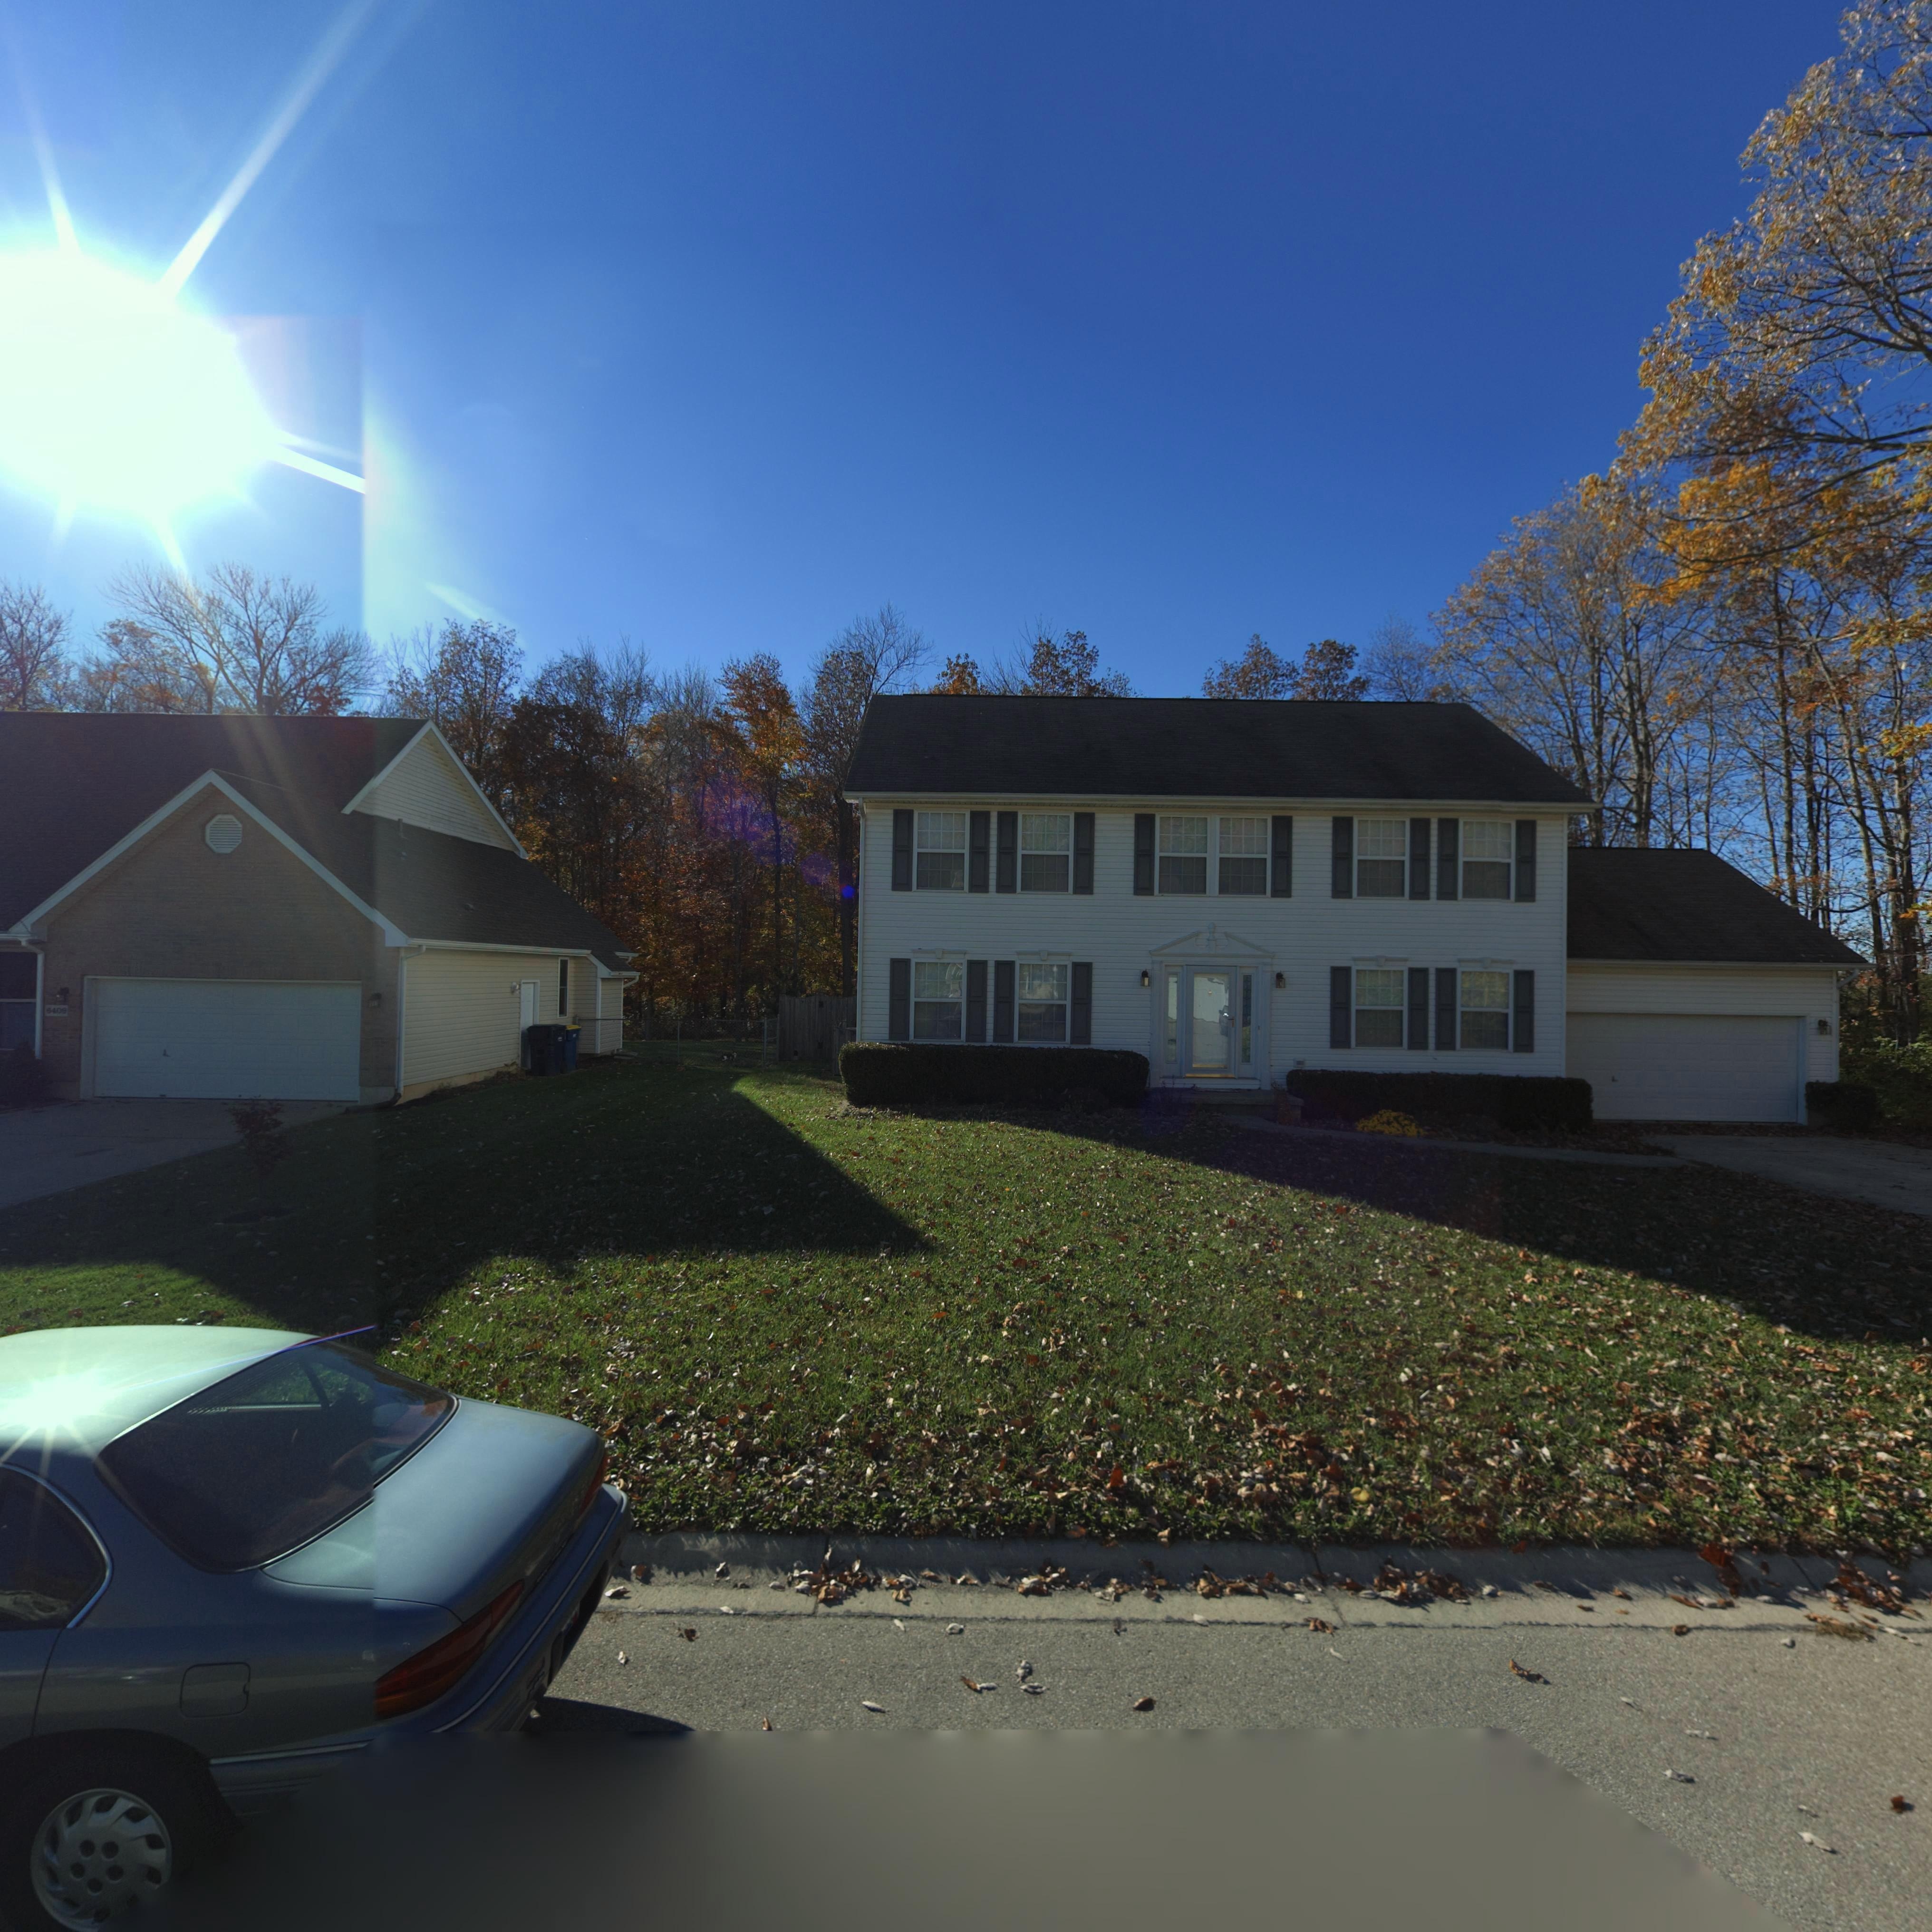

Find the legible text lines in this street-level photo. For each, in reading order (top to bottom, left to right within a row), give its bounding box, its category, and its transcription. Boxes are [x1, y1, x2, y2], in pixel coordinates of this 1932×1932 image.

[45, 1006, 68, 1015] StreetNumber: *40*